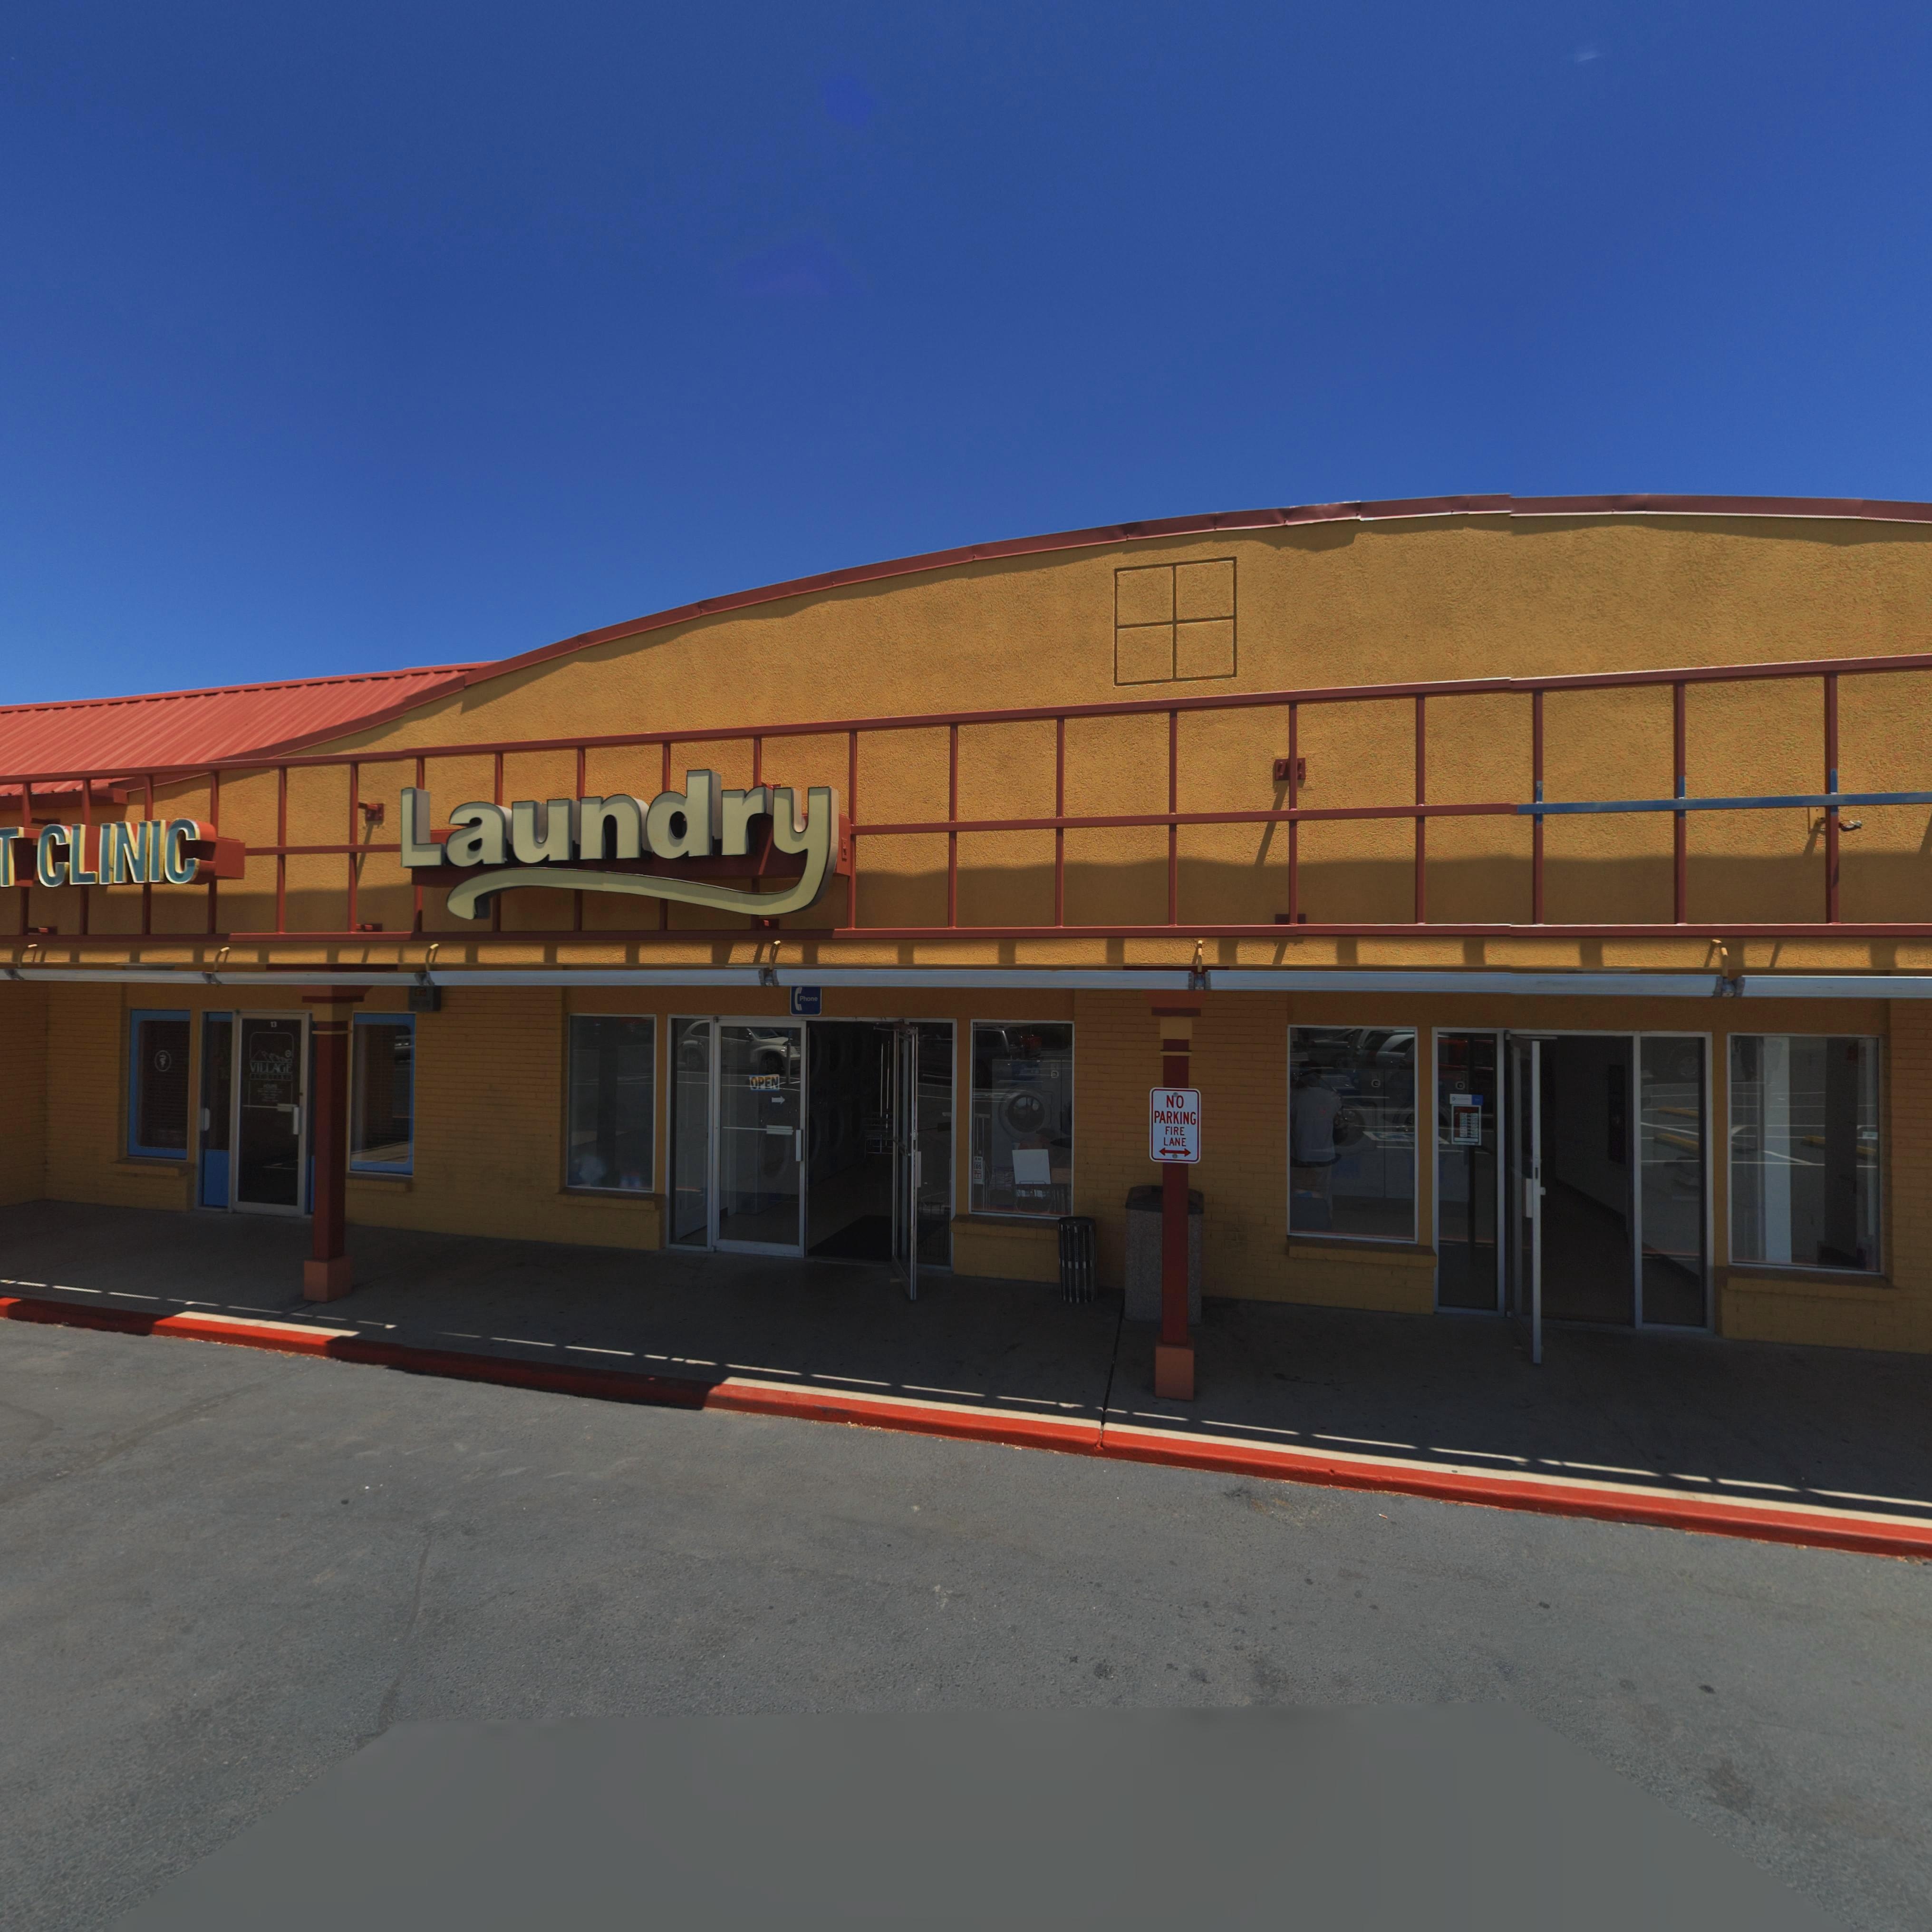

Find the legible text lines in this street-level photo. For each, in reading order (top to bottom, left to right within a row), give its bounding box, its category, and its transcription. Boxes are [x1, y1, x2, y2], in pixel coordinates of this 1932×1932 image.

[35, 817, 199, 888] BusinessName: CLINIC